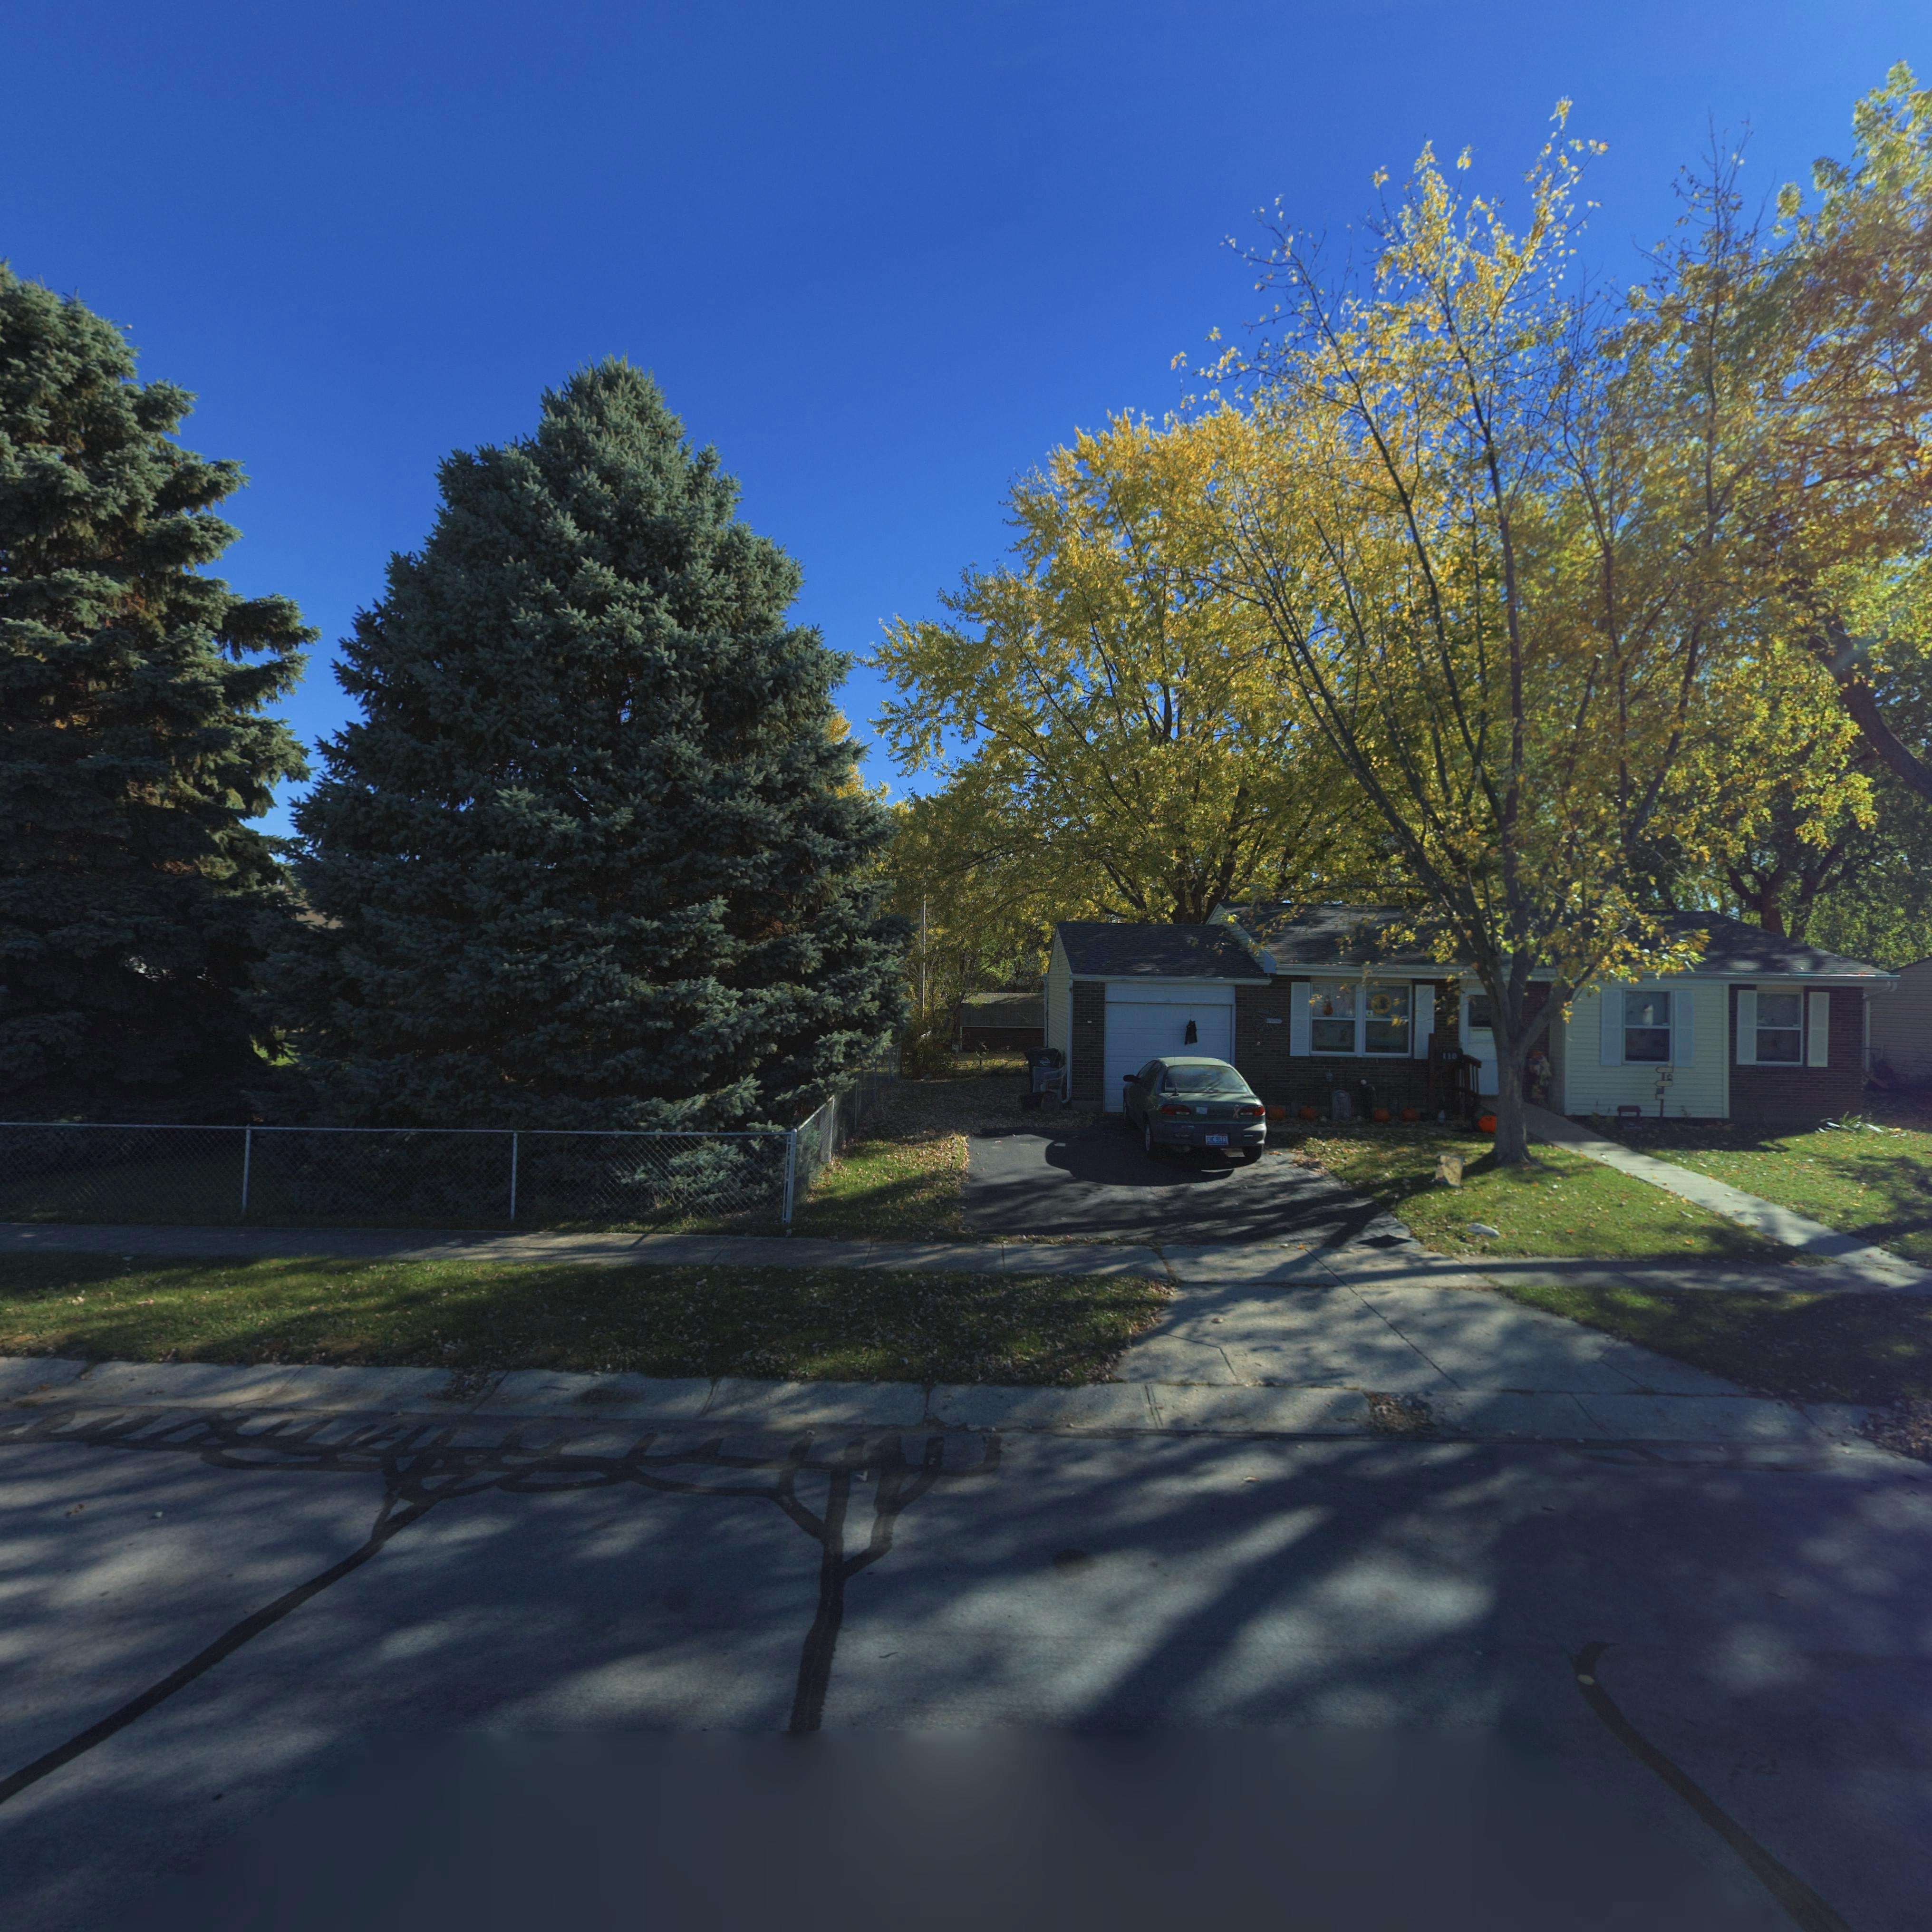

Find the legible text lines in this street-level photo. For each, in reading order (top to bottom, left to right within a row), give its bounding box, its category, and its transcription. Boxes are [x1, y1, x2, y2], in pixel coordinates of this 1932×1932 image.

[1442, 1052, 1458, 1060] StreetNumber: 119